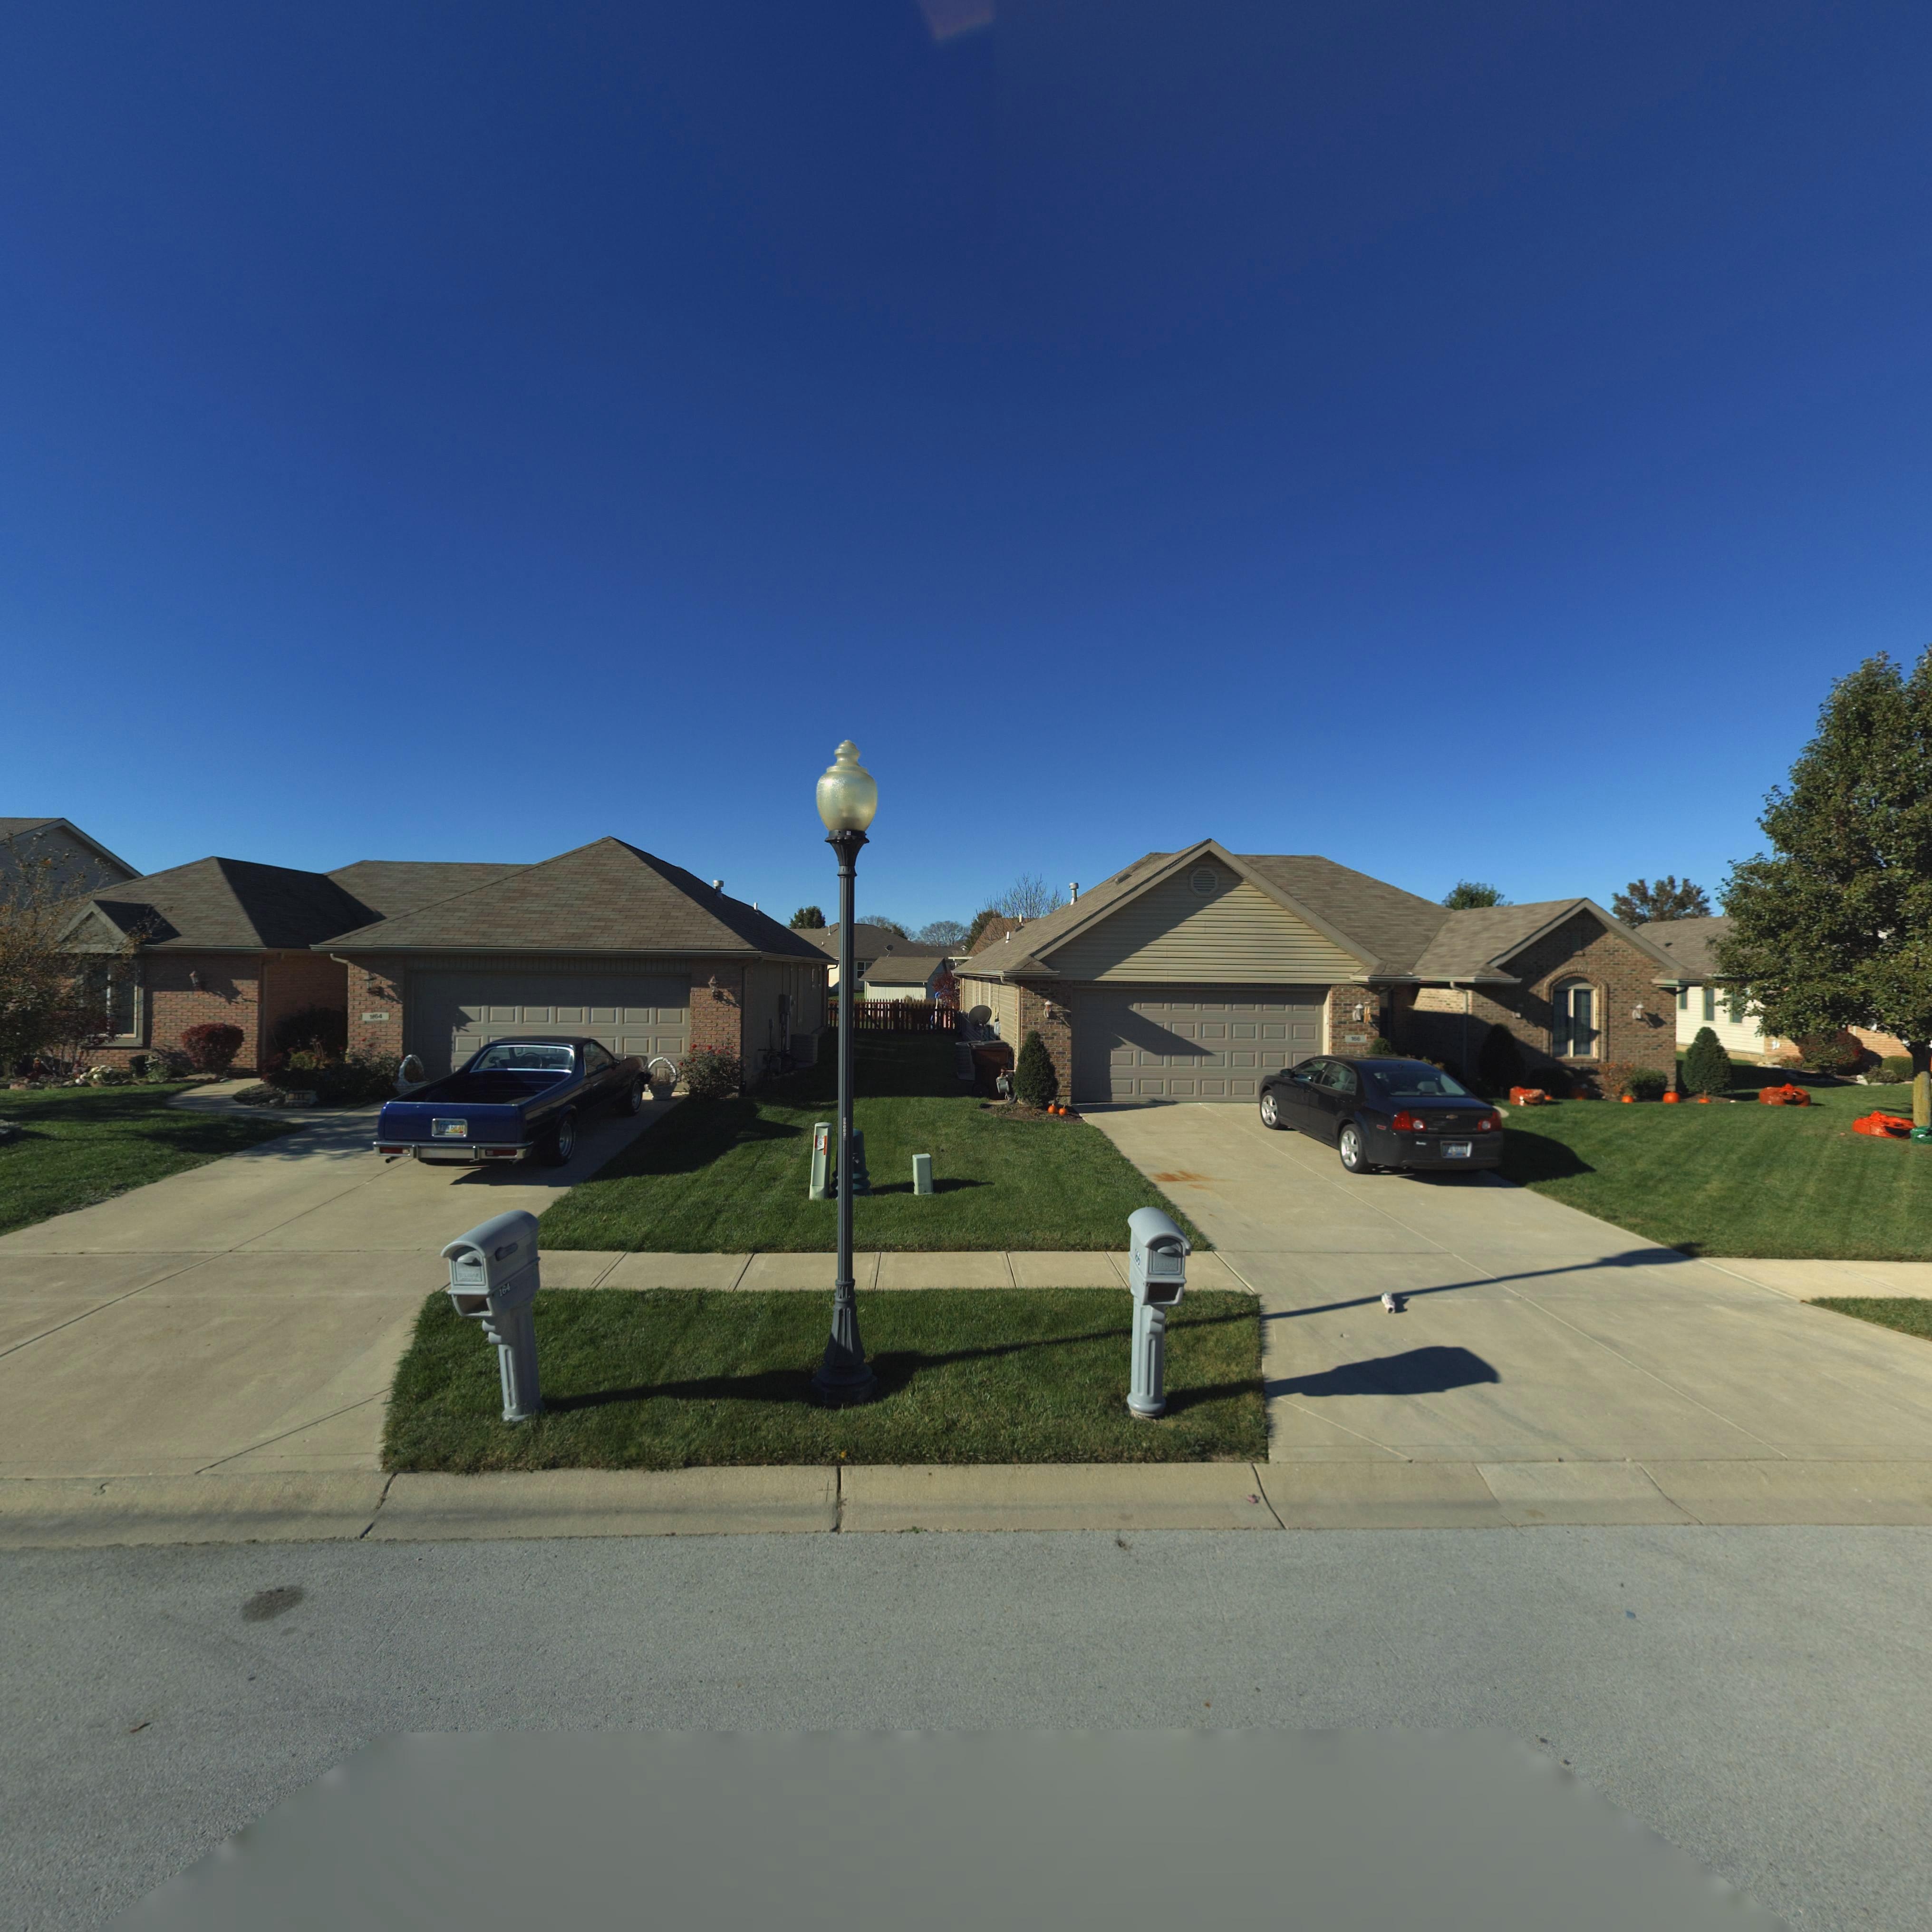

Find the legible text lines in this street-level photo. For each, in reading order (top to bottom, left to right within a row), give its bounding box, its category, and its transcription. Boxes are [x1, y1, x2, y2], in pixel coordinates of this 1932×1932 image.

[1350, 1035, 1362, 1042] StreetNumber: 166
[1134, 1247, 1141, 1267] StreetNumber: 166
[498, 1281, 512, 1298] StreetNumber: 164